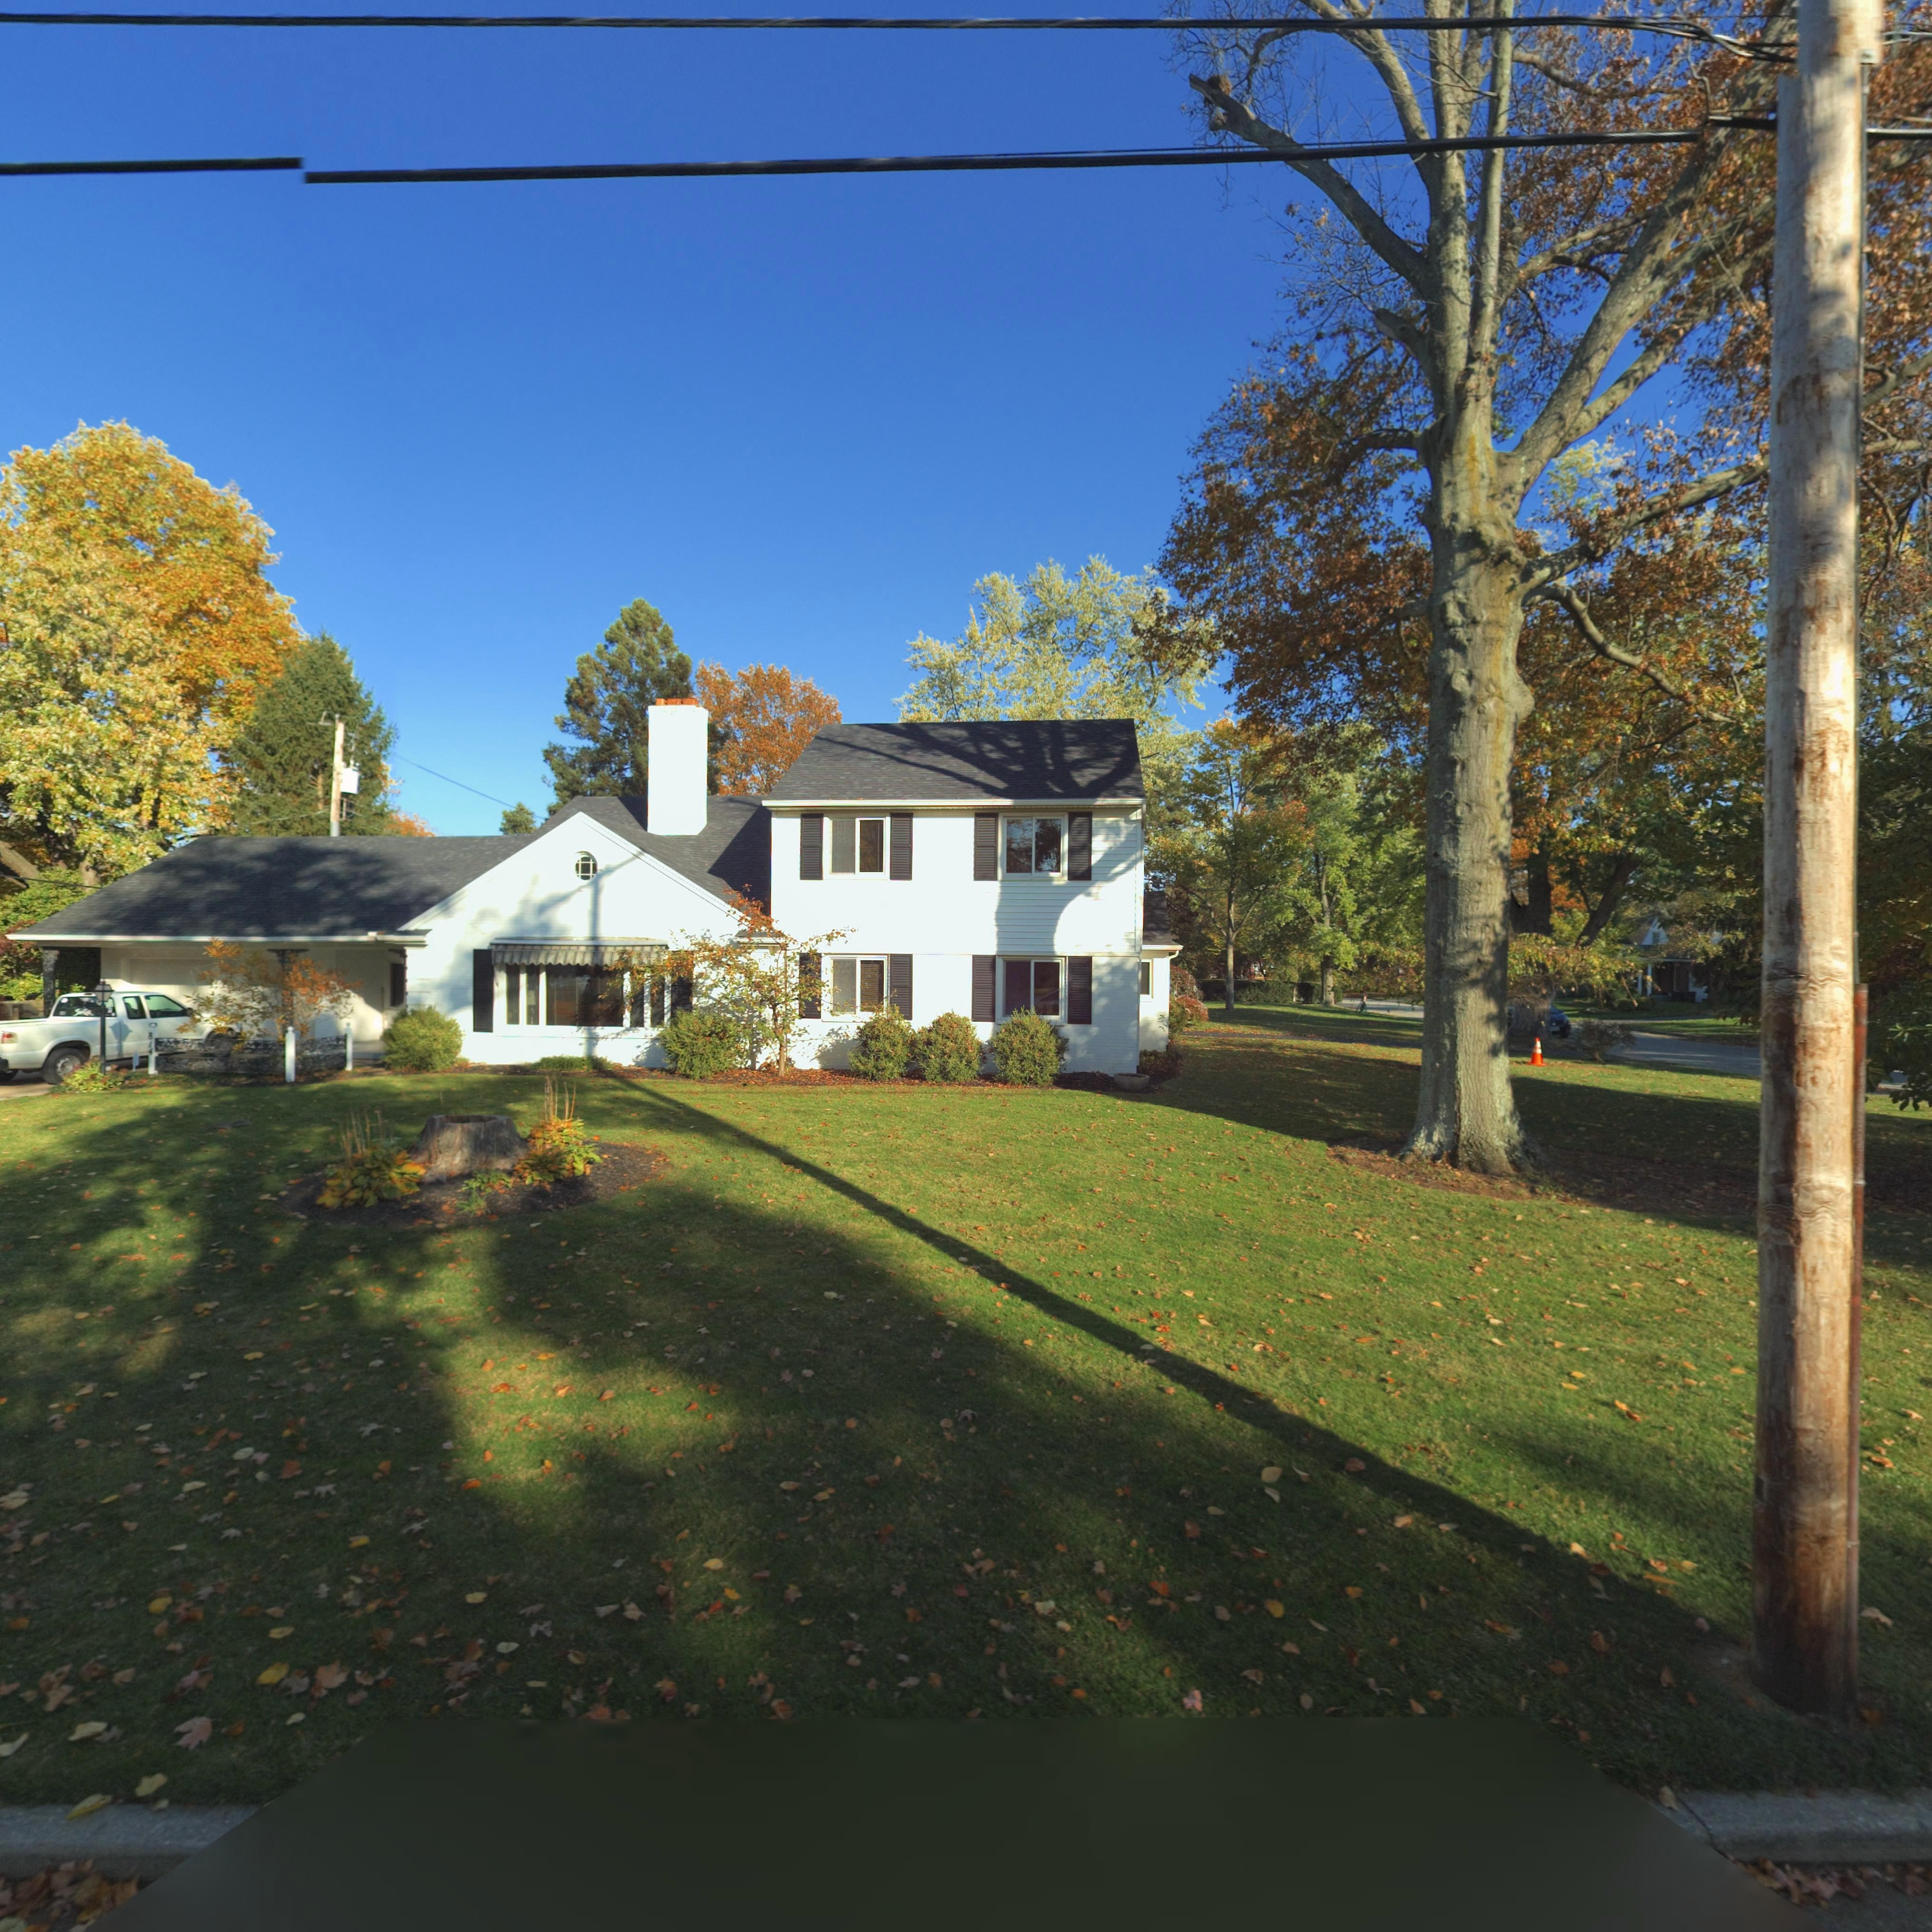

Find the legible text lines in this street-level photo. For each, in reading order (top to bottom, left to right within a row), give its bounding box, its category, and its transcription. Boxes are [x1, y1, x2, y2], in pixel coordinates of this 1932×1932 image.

[147, 1032, 154, 1055] StreetNumber: 814